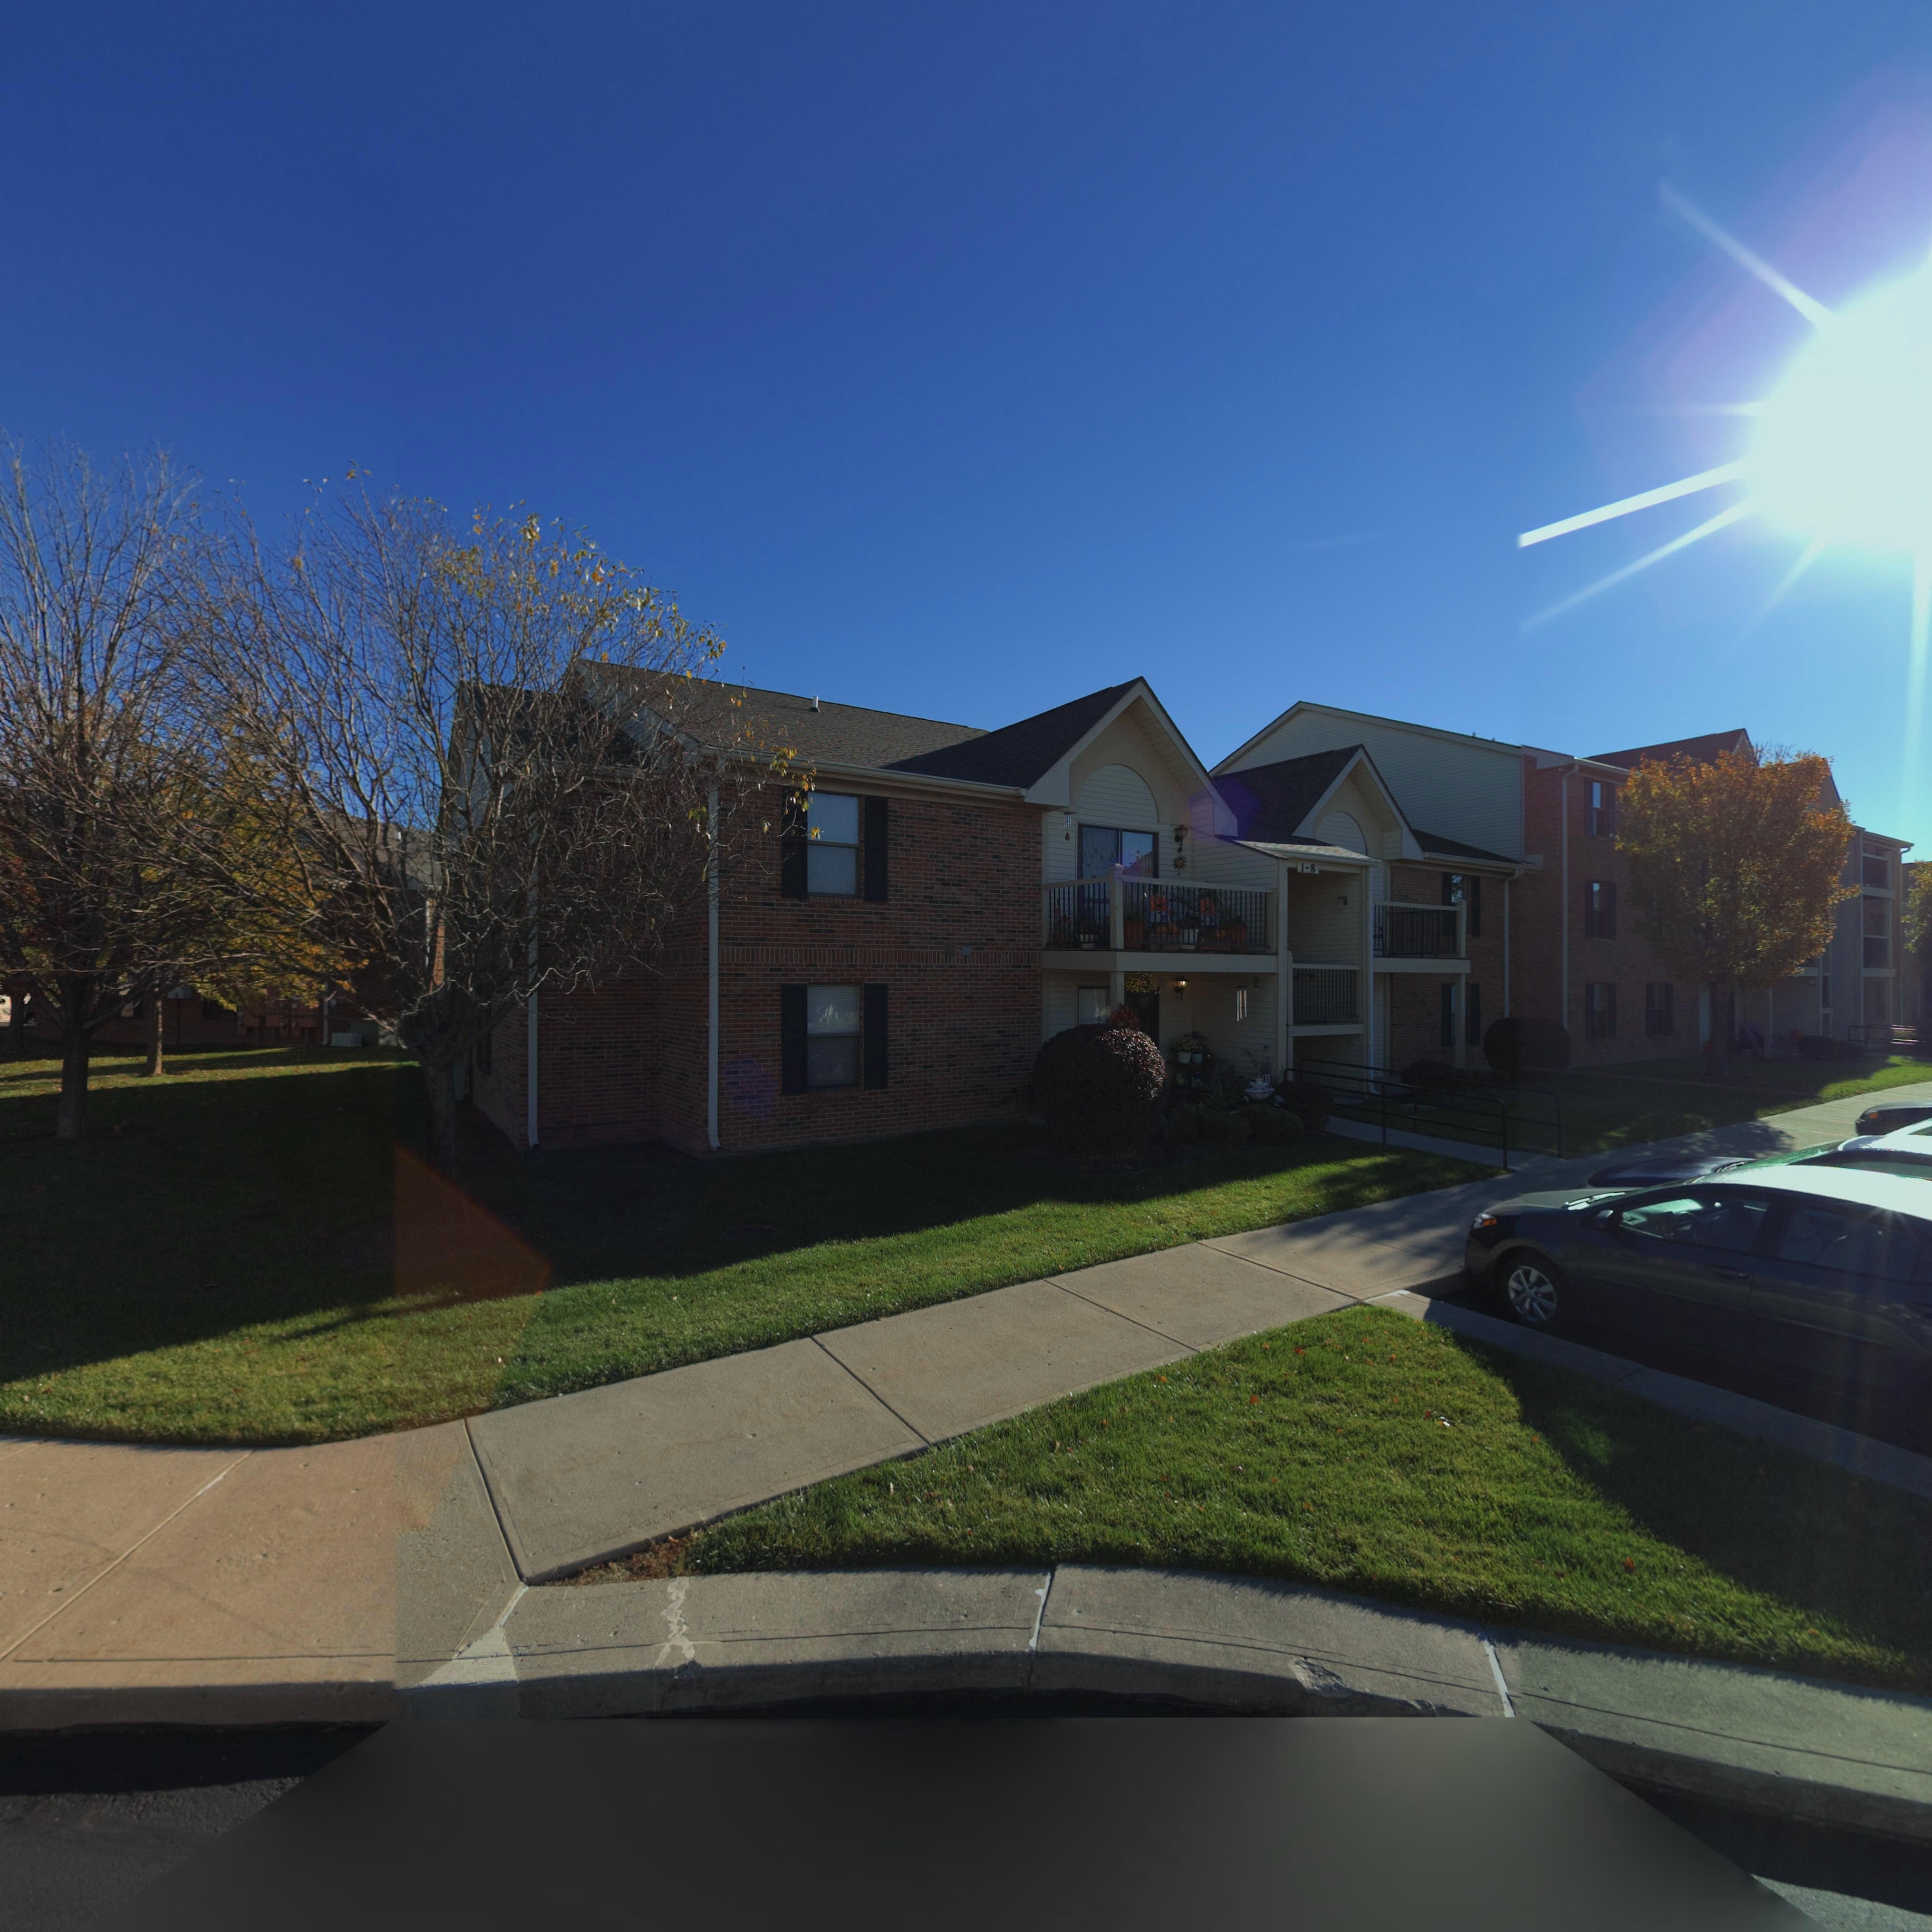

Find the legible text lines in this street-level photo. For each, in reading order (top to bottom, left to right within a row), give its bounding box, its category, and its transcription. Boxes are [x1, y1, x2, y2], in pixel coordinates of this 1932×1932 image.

[1300, 862, 1316, 874] StreetNumber: 1-8